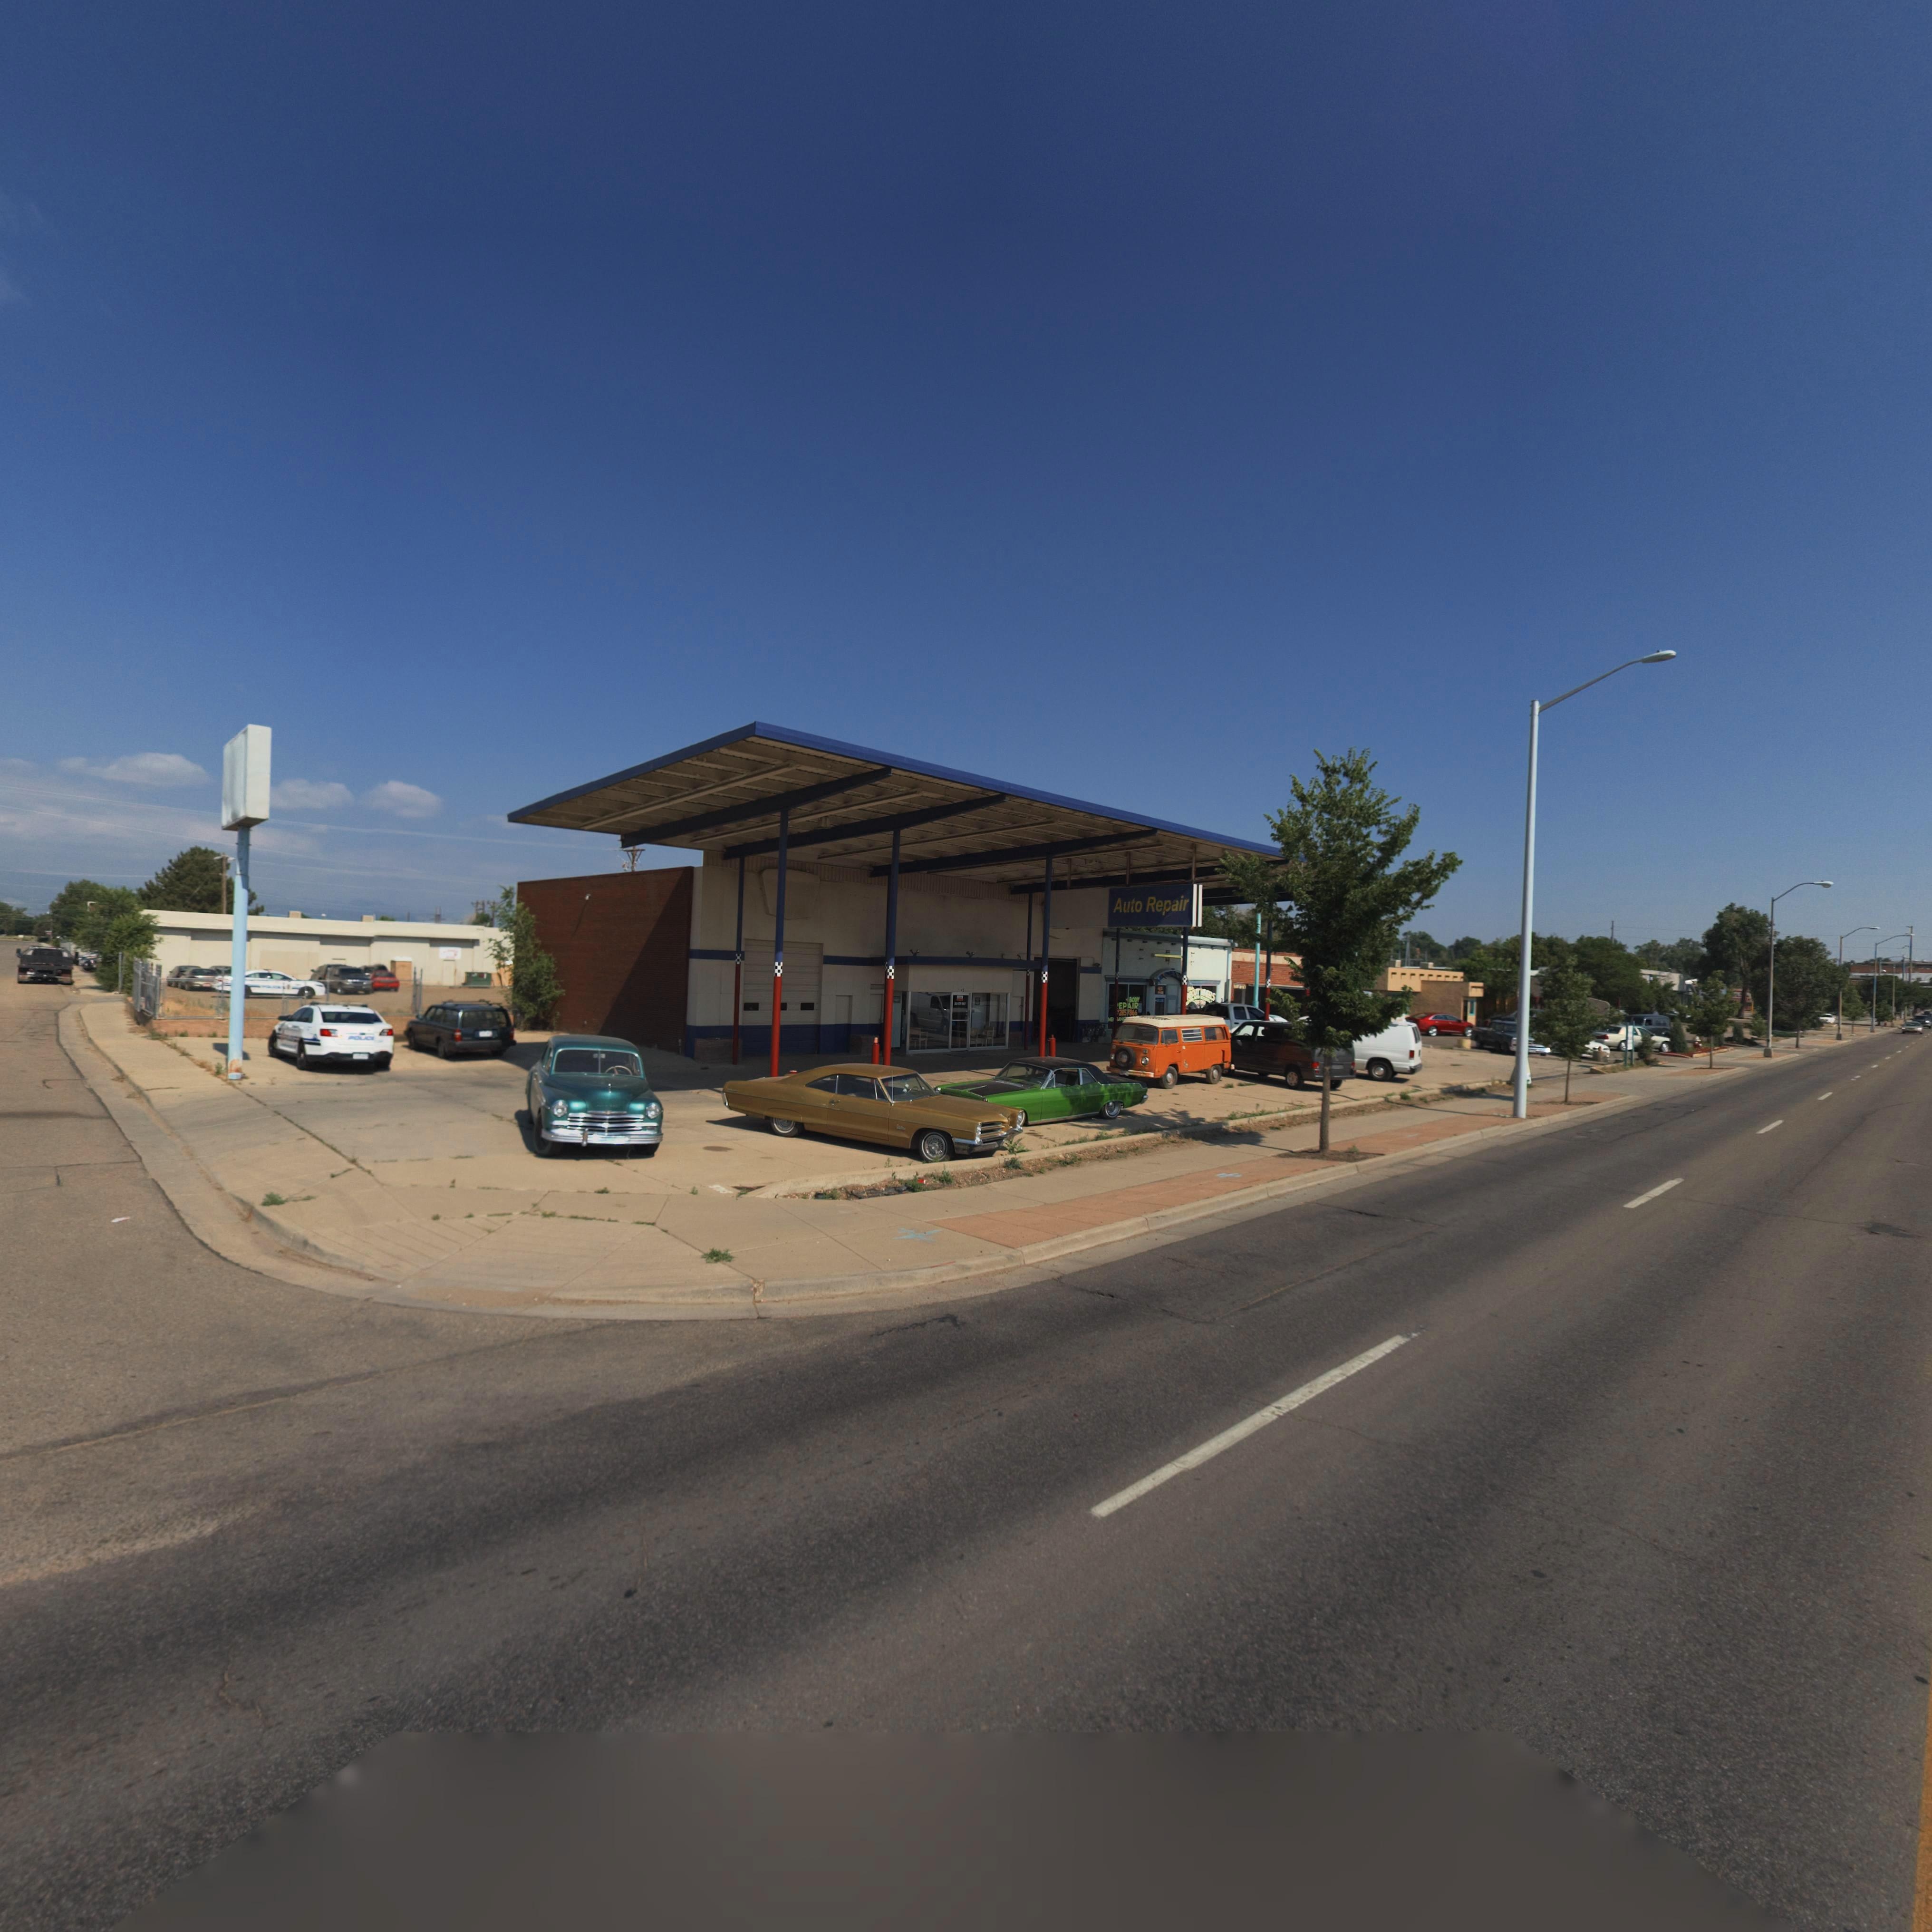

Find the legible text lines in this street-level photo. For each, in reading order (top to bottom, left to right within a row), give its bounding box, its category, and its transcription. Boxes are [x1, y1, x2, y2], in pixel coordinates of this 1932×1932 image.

[1158, 986, 1161, 991] StreetNumber: 4
[1187, 986, 1195, 992] BusinessName: ALL
[1186, 988, 1216, 1001] BusinessName: ABOUT WHEELS